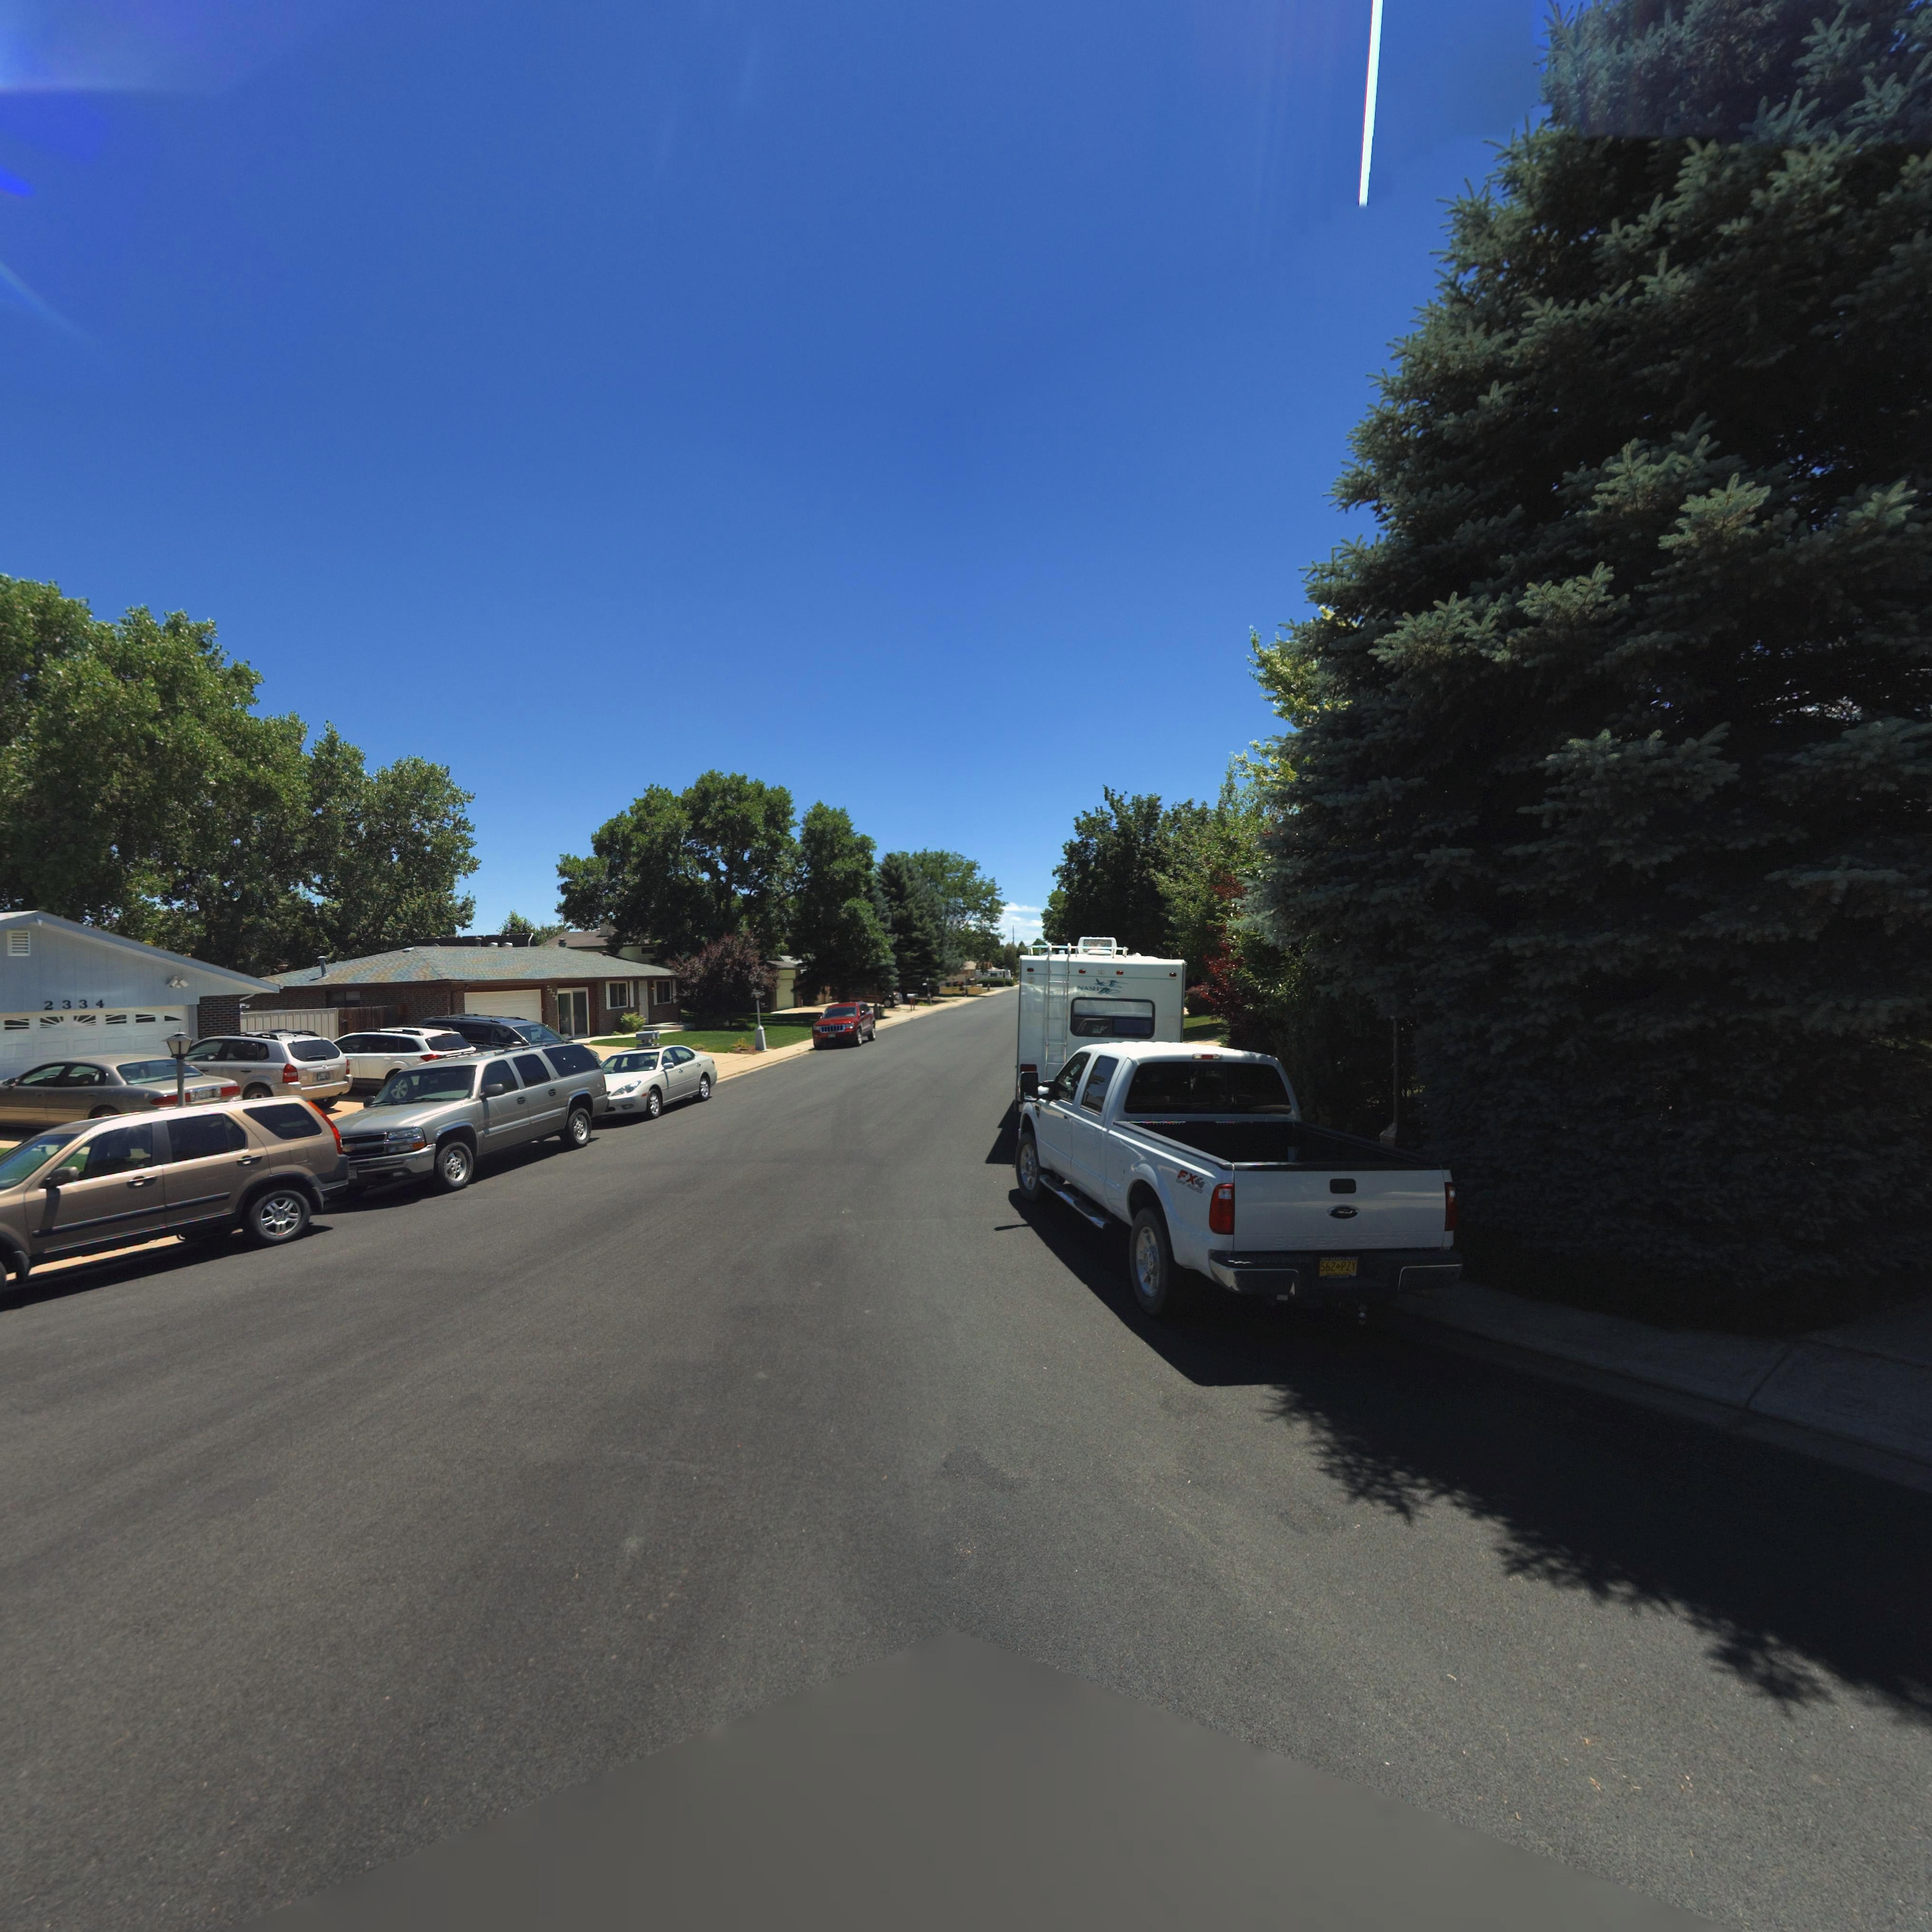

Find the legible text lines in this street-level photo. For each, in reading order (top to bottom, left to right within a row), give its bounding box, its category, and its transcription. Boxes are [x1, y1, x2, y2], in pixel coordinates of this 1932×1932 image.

[546, 985, 558, 1001] StreetNumber: 2328
[44, 998, 105, 1010] StreetNumber: 2334